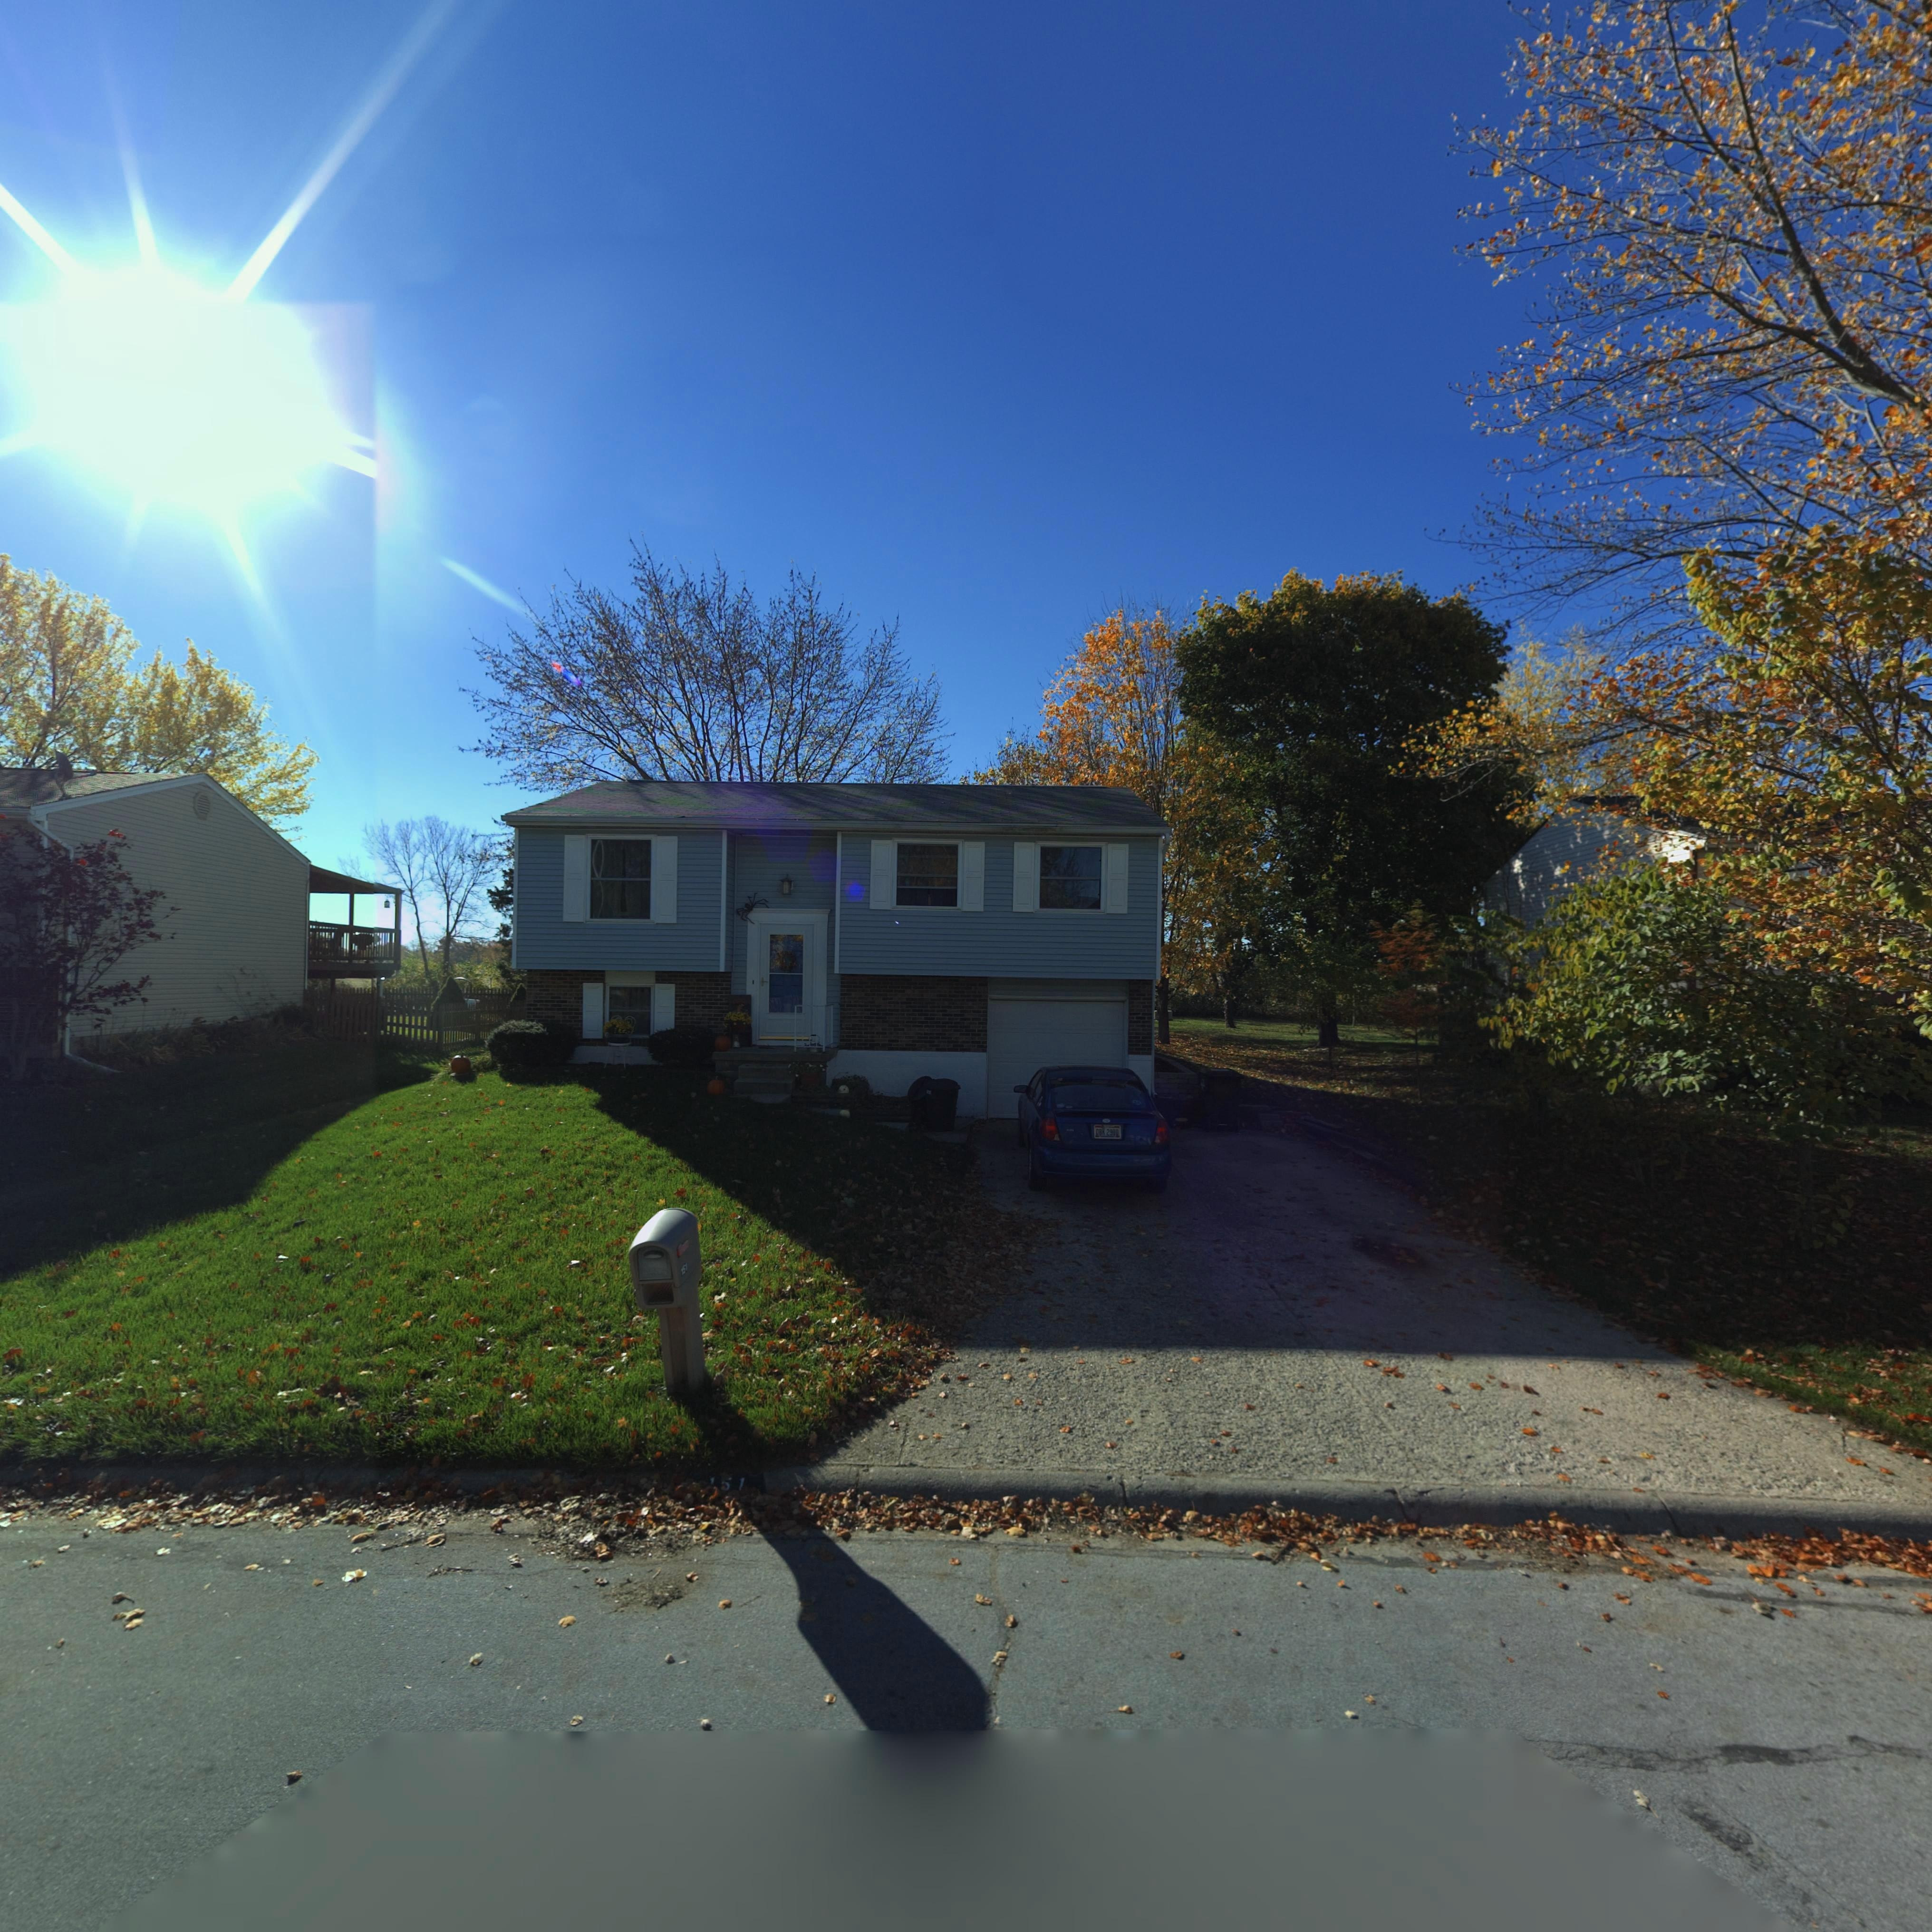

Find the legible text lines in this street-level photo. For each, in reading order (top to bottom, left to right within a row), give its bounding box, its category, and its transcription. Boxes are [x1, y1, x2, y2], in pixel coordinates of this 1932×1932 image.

[680, 1262, 689, 1277] StreetNumber: 151